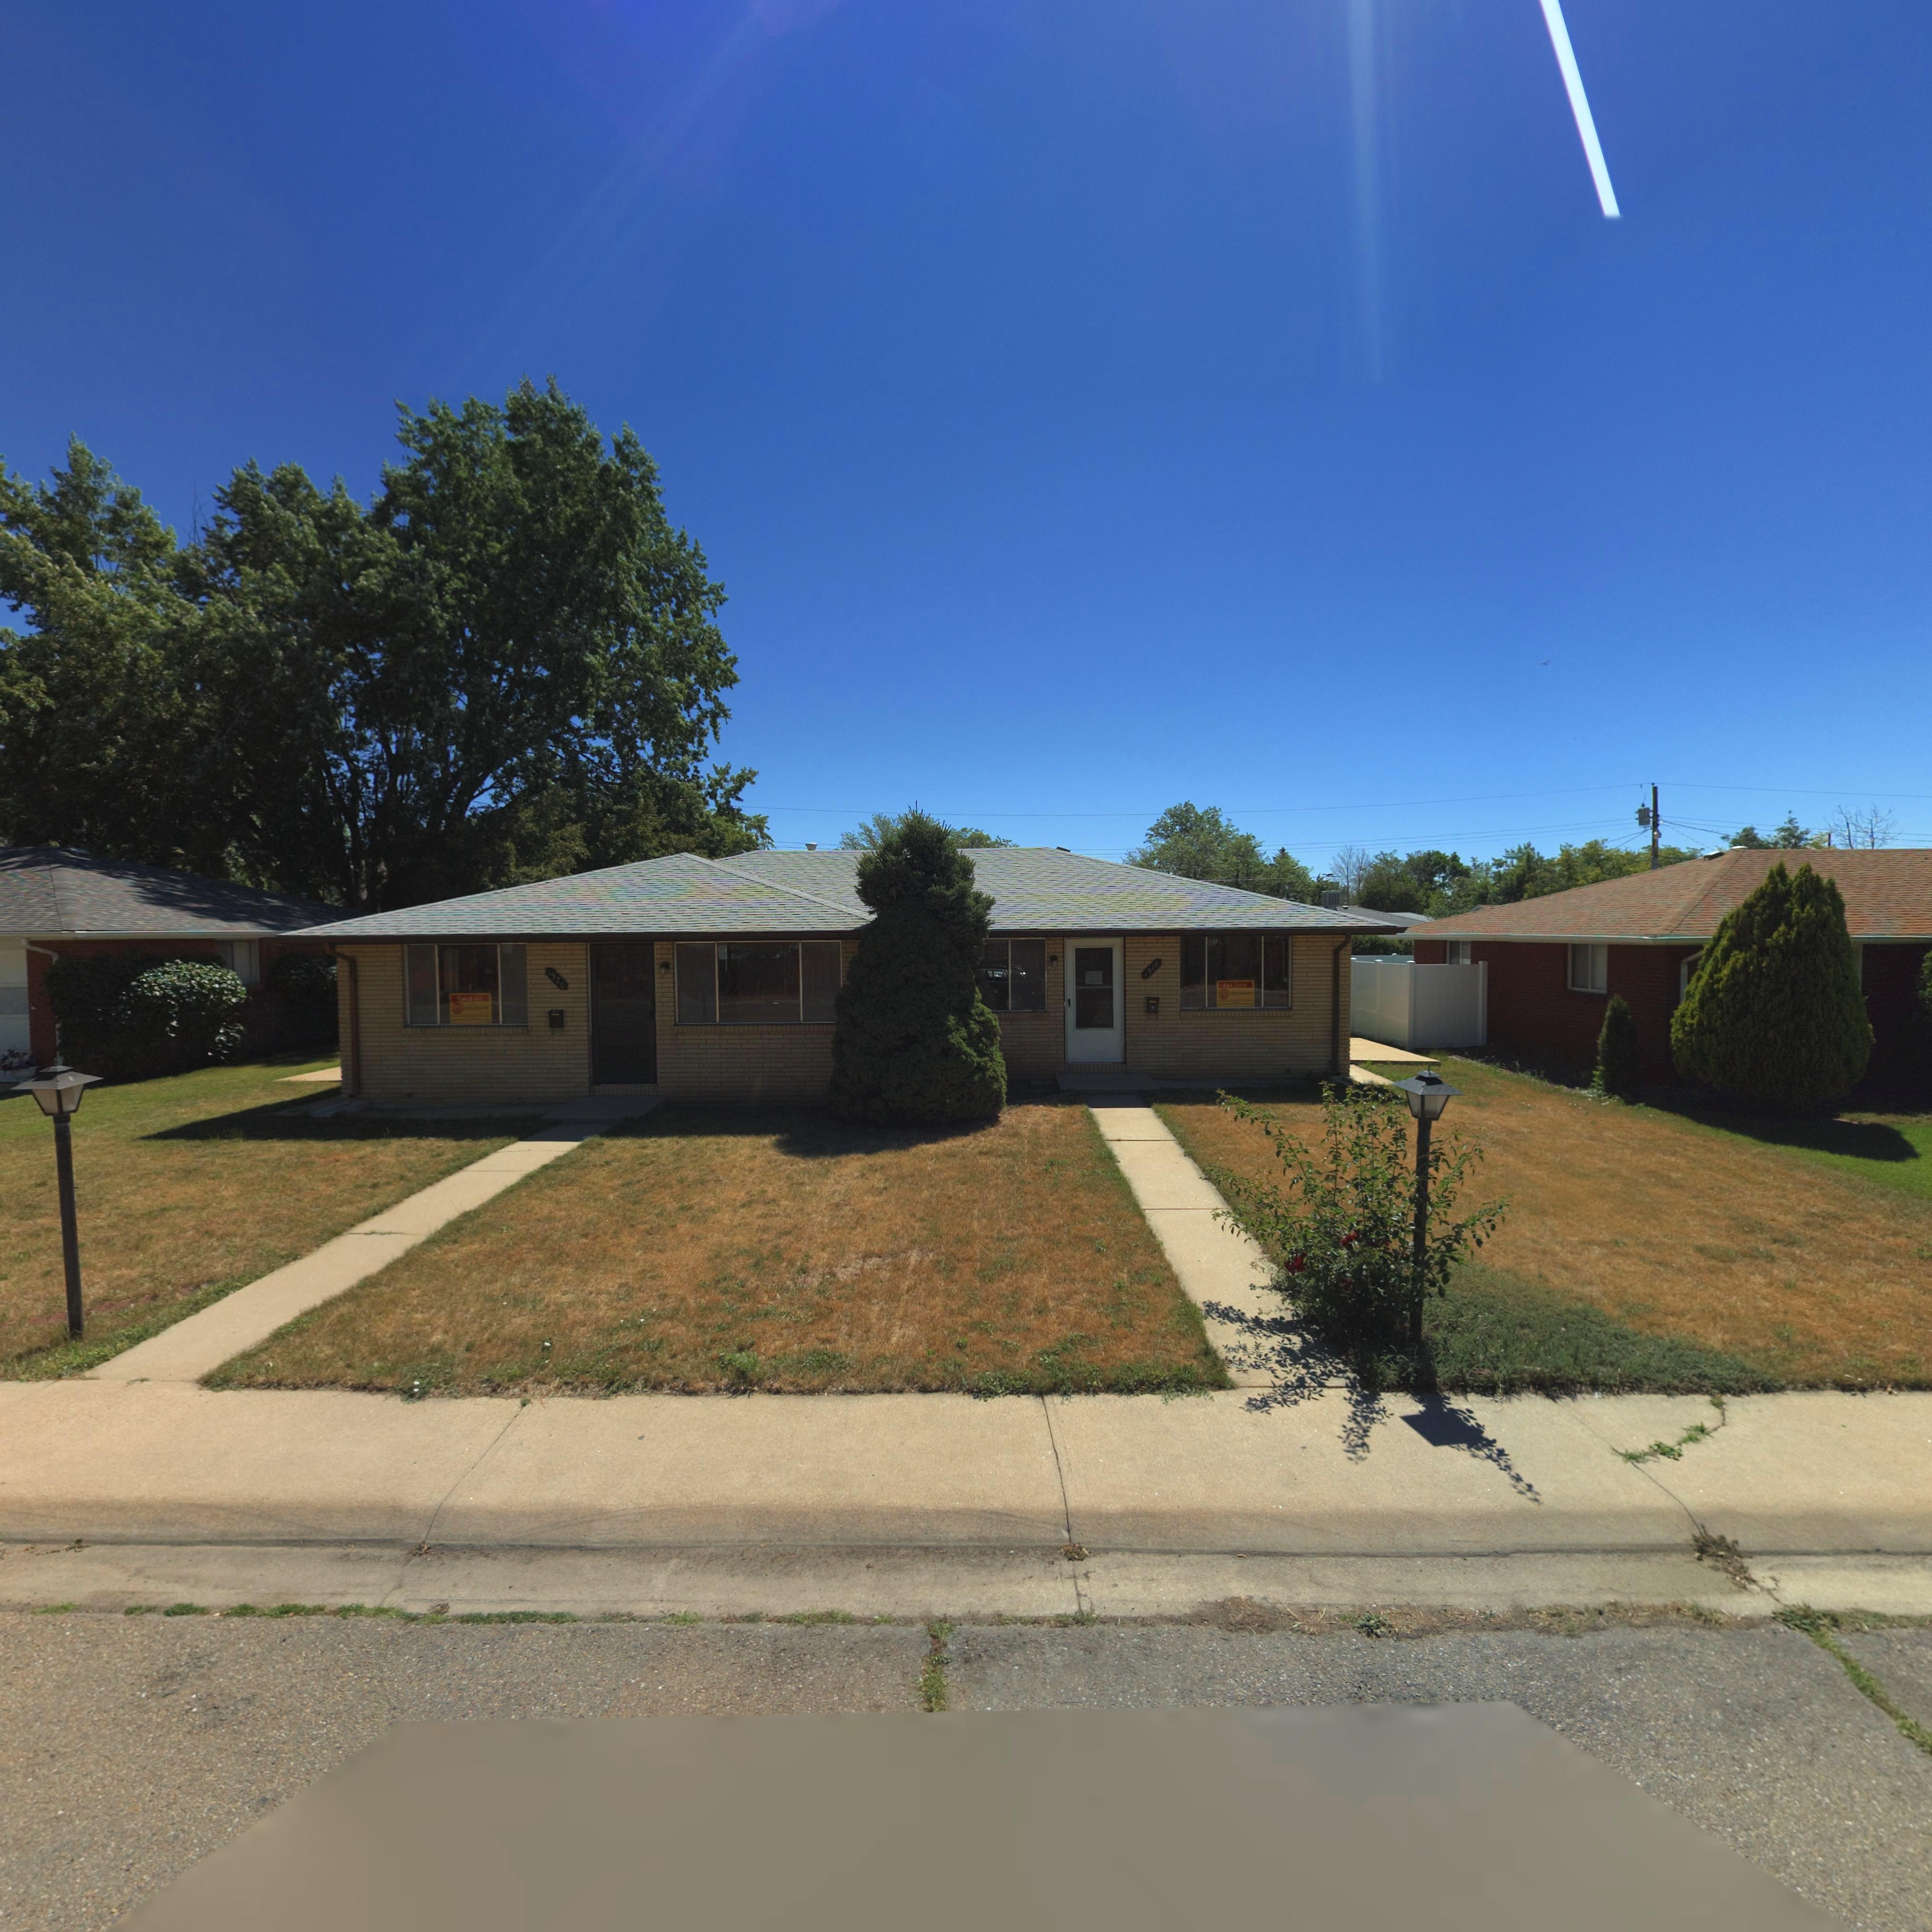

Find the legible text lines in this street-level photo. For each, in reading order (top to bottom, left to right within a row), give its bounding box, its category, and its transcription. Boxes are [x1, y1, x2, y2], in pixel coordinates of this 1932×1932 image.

[547, 969, 565, 989] StreetNumber: 1920
[1144, 961, 1159, 978] StreetNumber: 1918